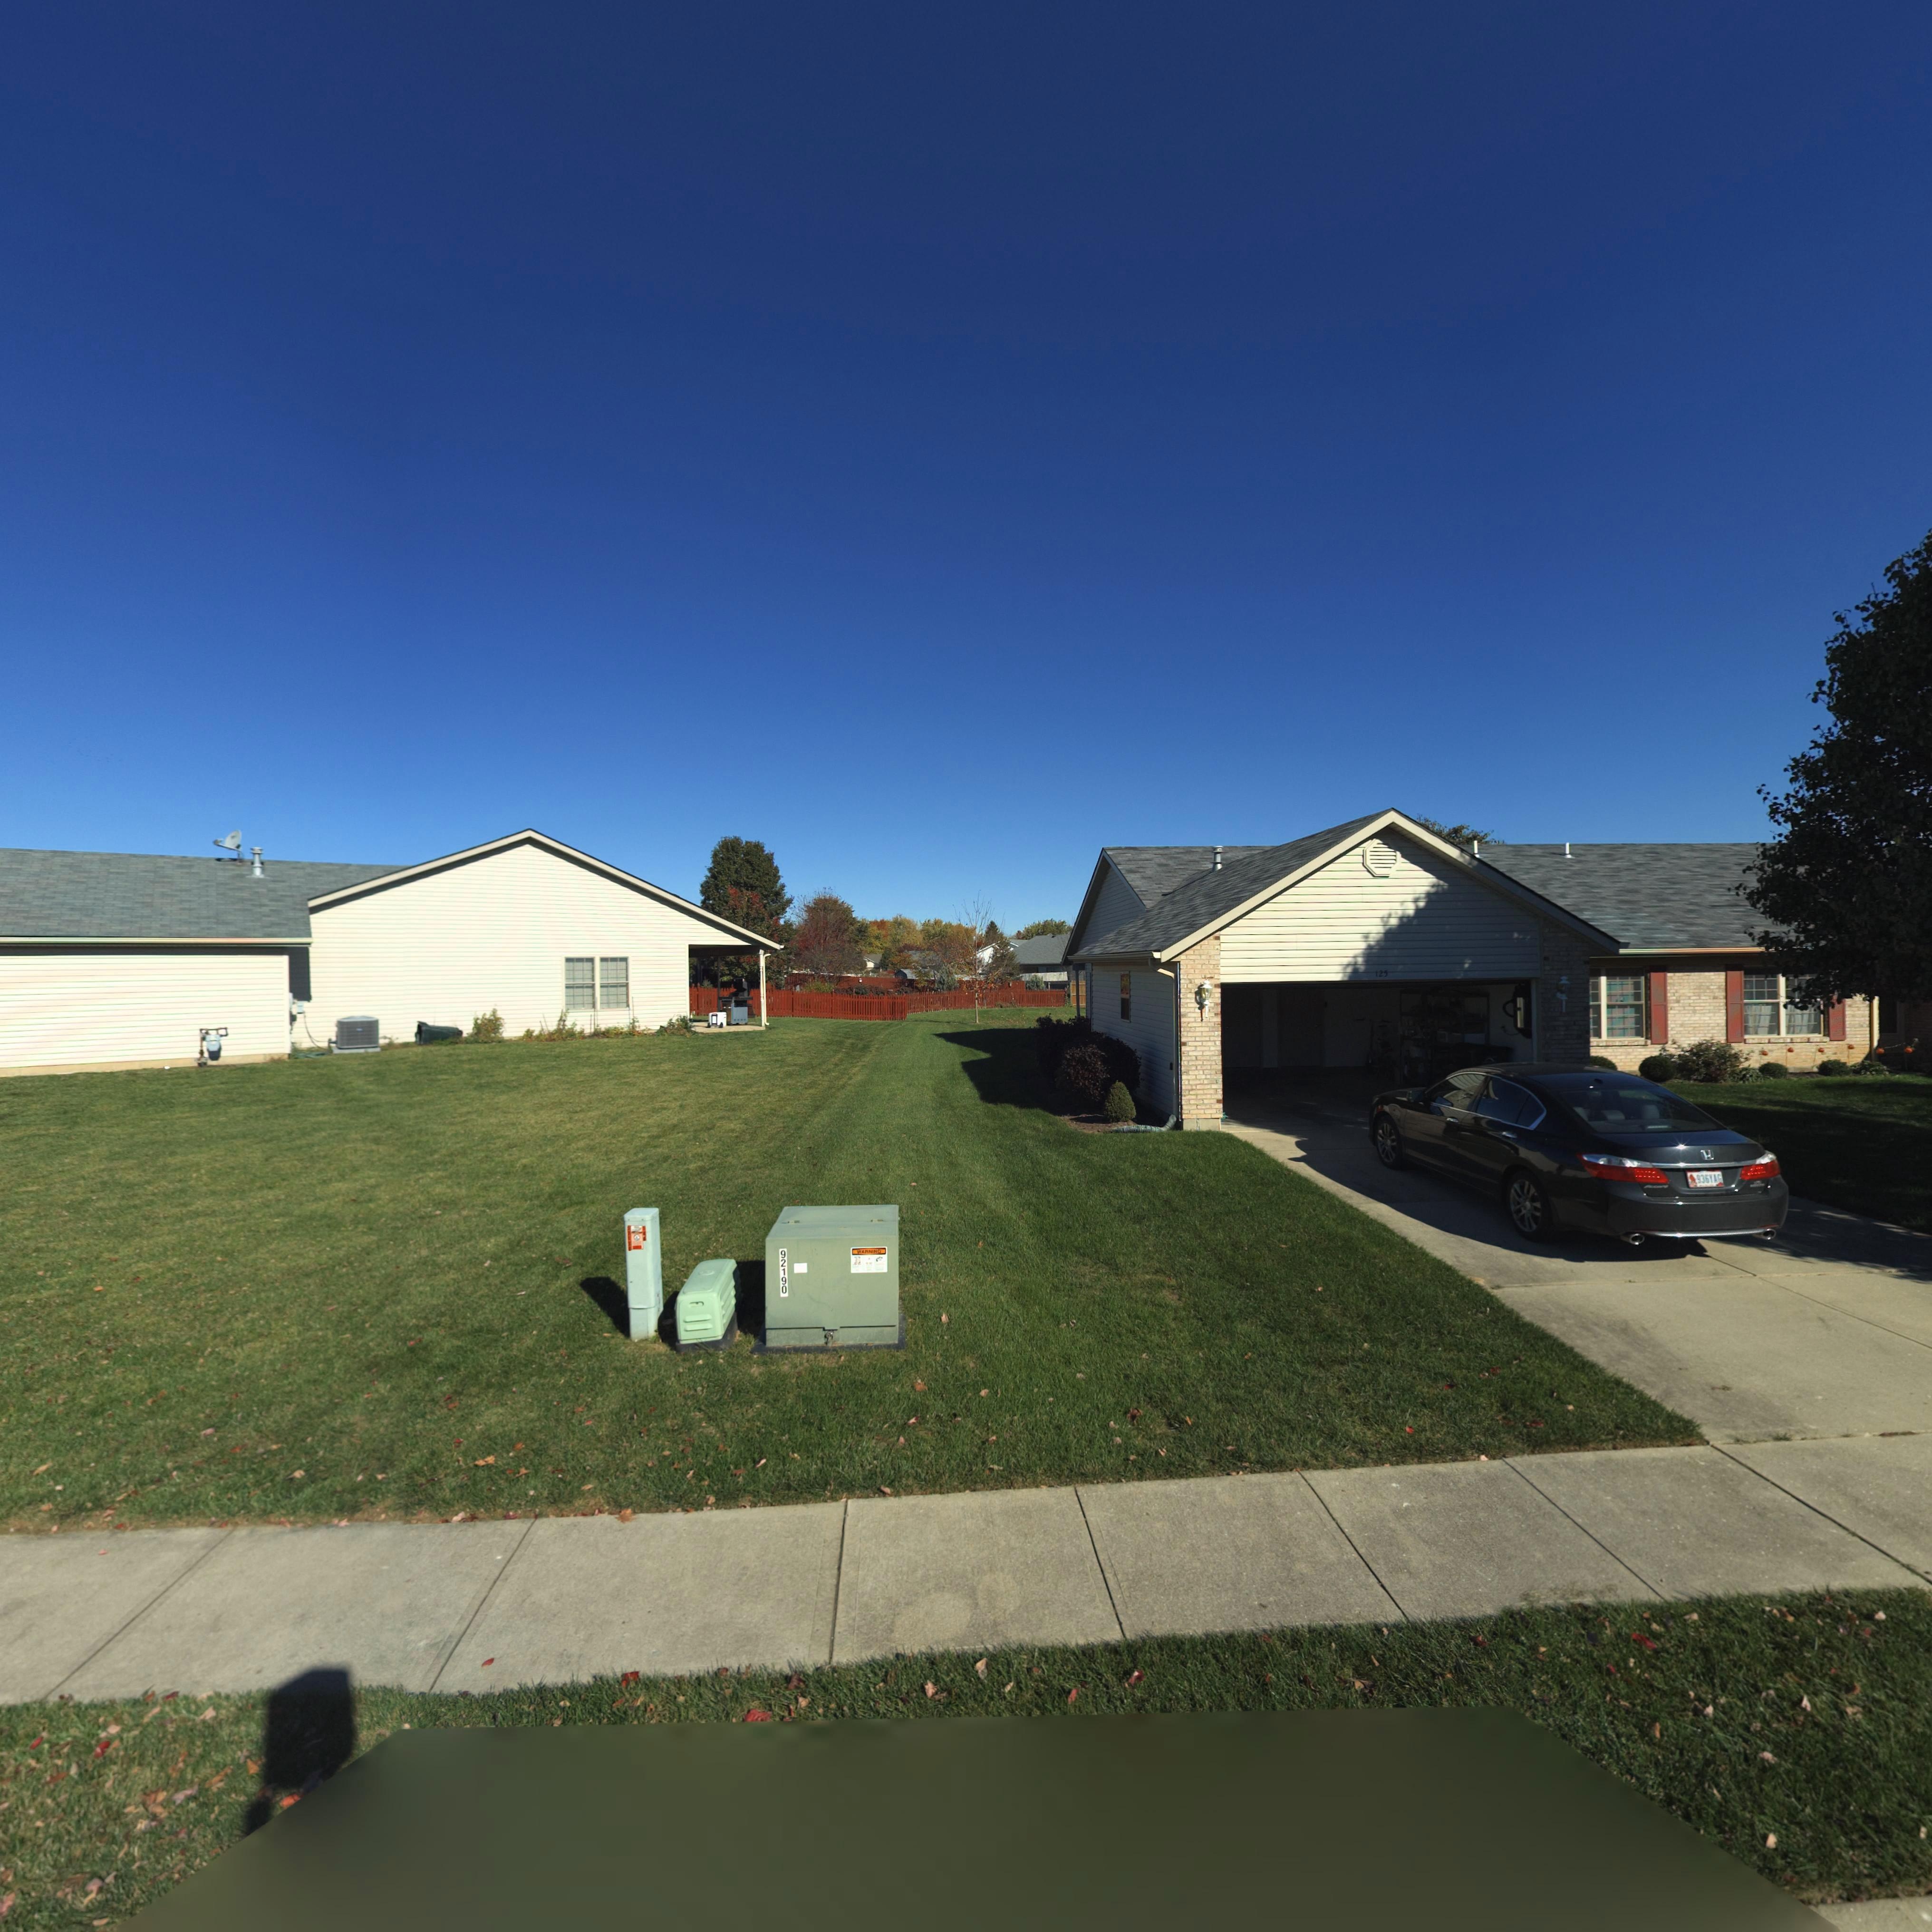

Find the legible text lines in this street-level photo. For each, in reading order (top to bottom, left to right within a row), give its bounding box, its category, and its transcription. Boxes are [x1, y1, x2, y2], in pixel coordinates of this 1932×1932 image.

[1375, 970, 1389, 977] StreetNumber: 125
[1694, 1171, 1723, 1186] None: 936YAG
[778, 1249, 786, 1296] None: 92190